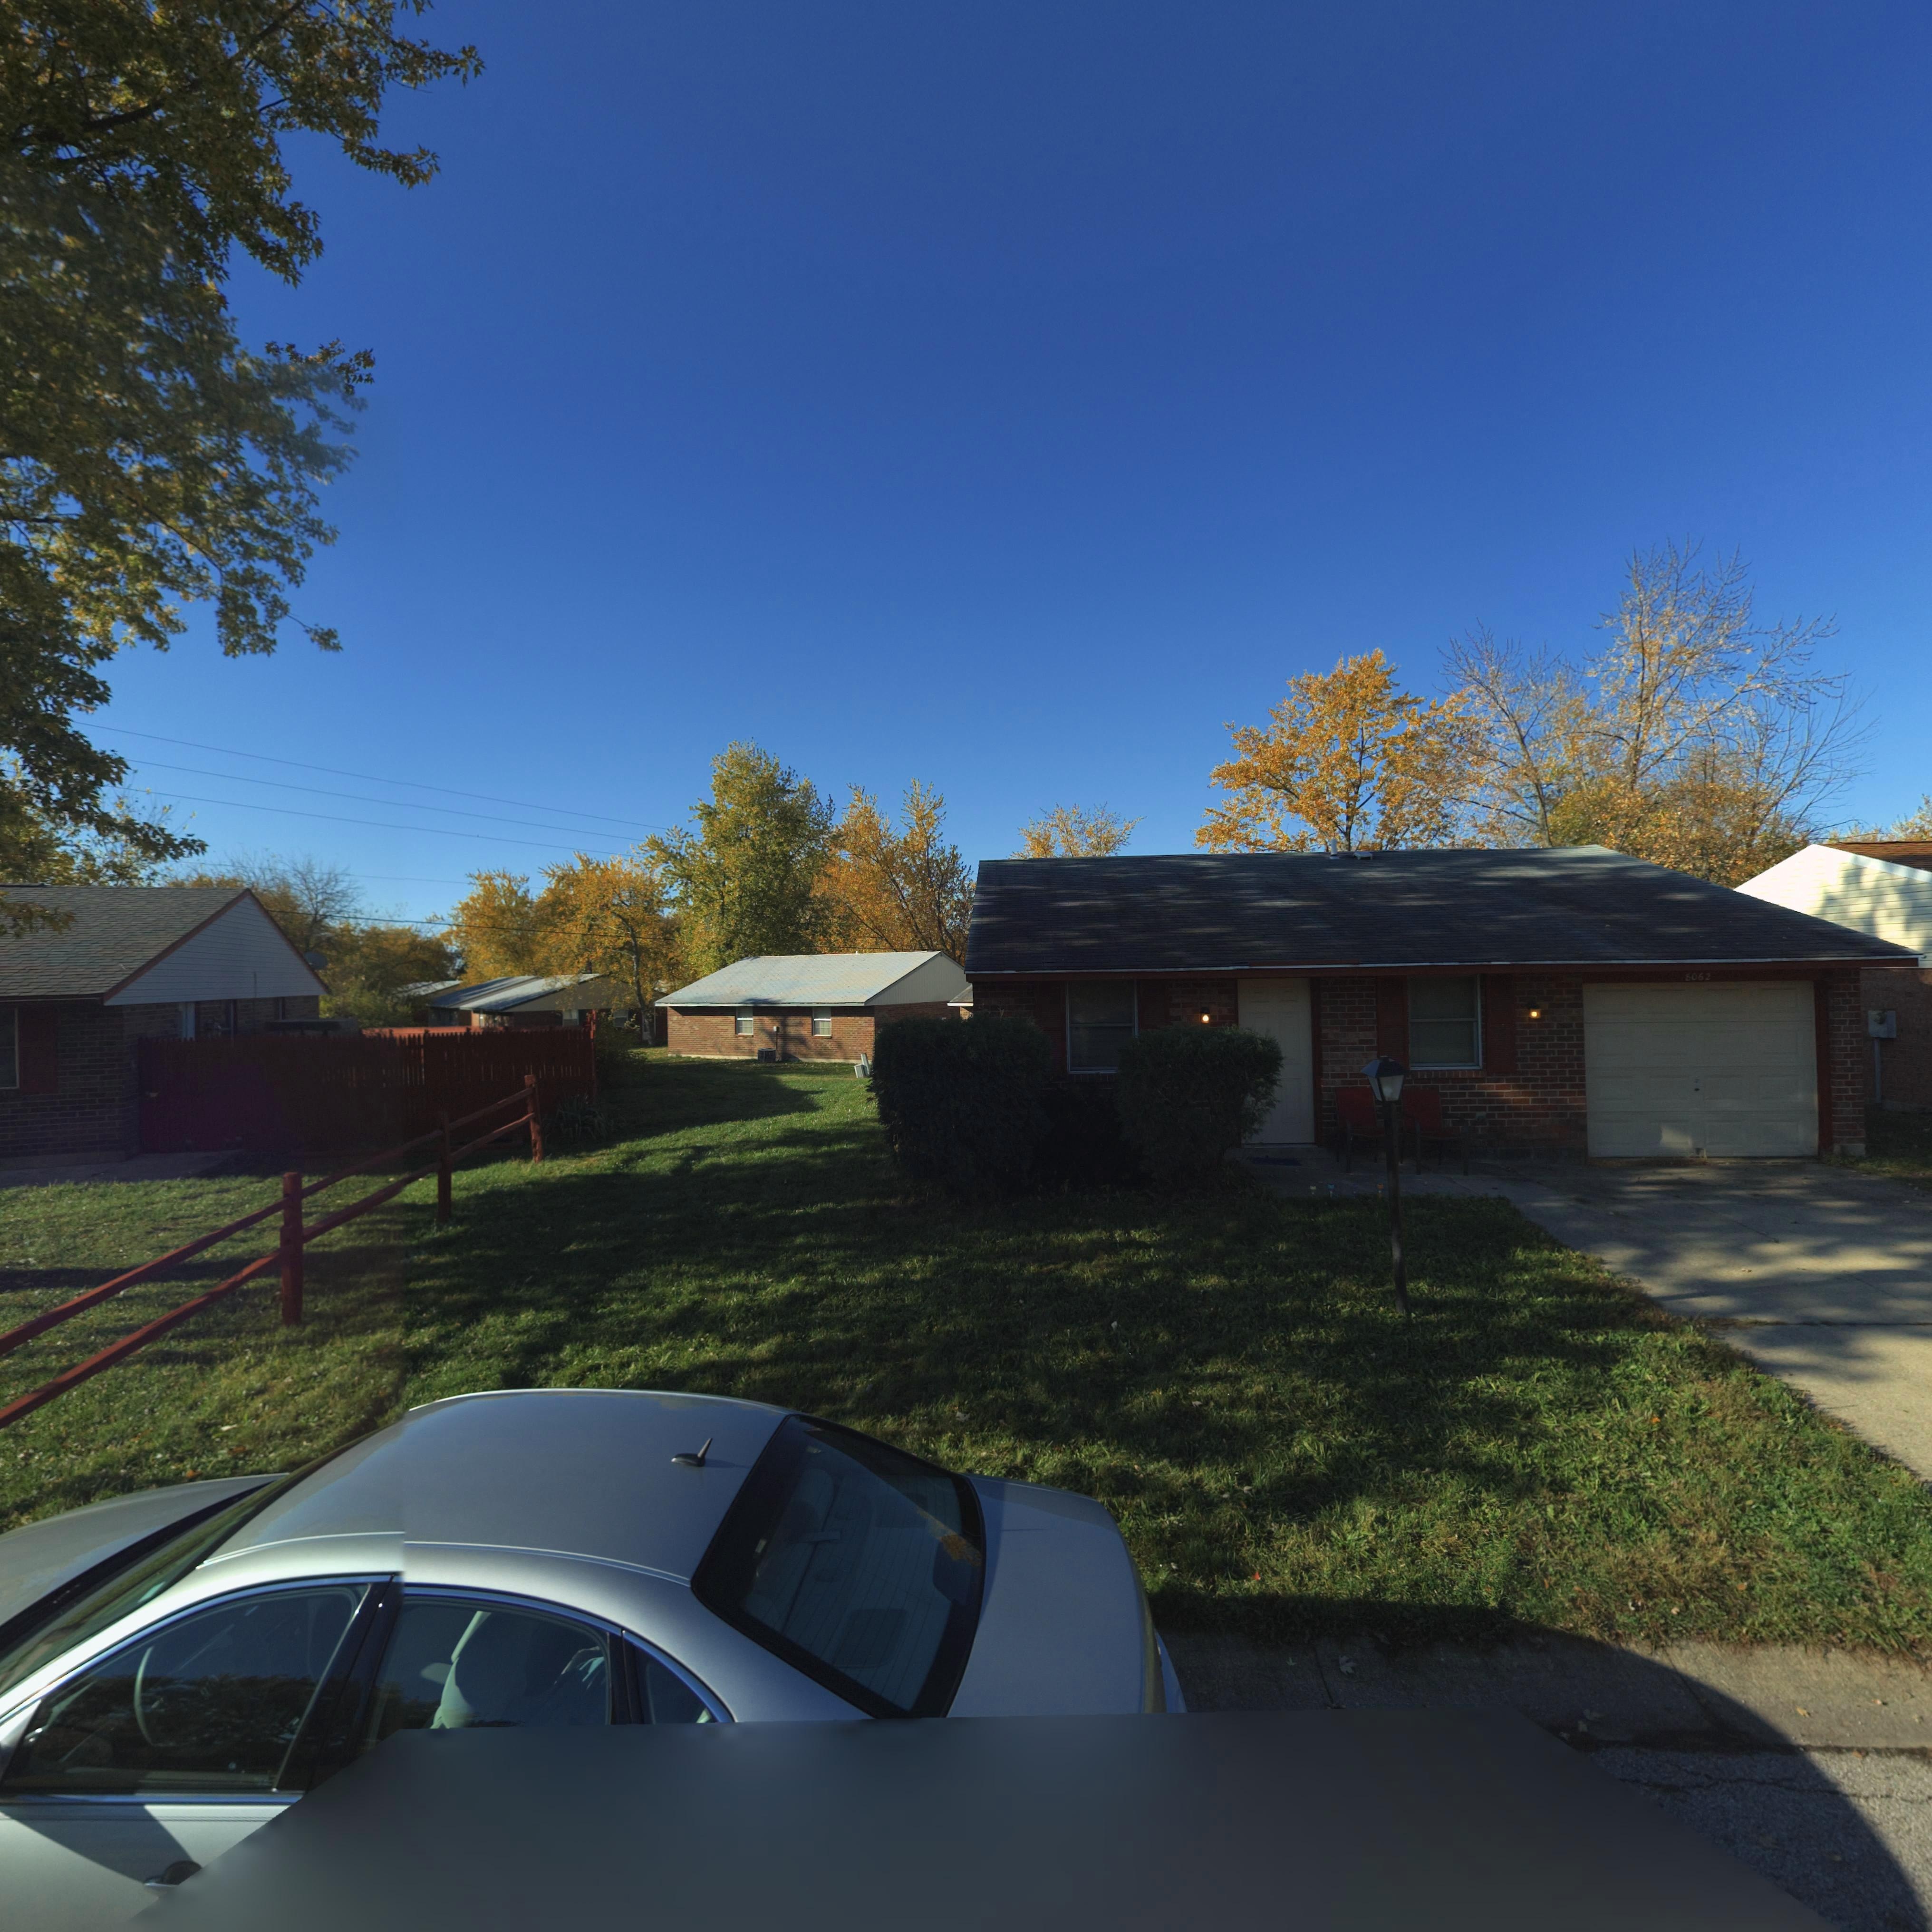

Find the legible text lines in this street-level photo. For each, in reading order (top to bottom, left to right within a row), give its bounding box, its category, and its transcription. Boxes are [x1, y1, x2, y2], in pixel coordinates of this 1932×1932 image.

[1684, 971, 1712, 982] StreetNumber: 8062